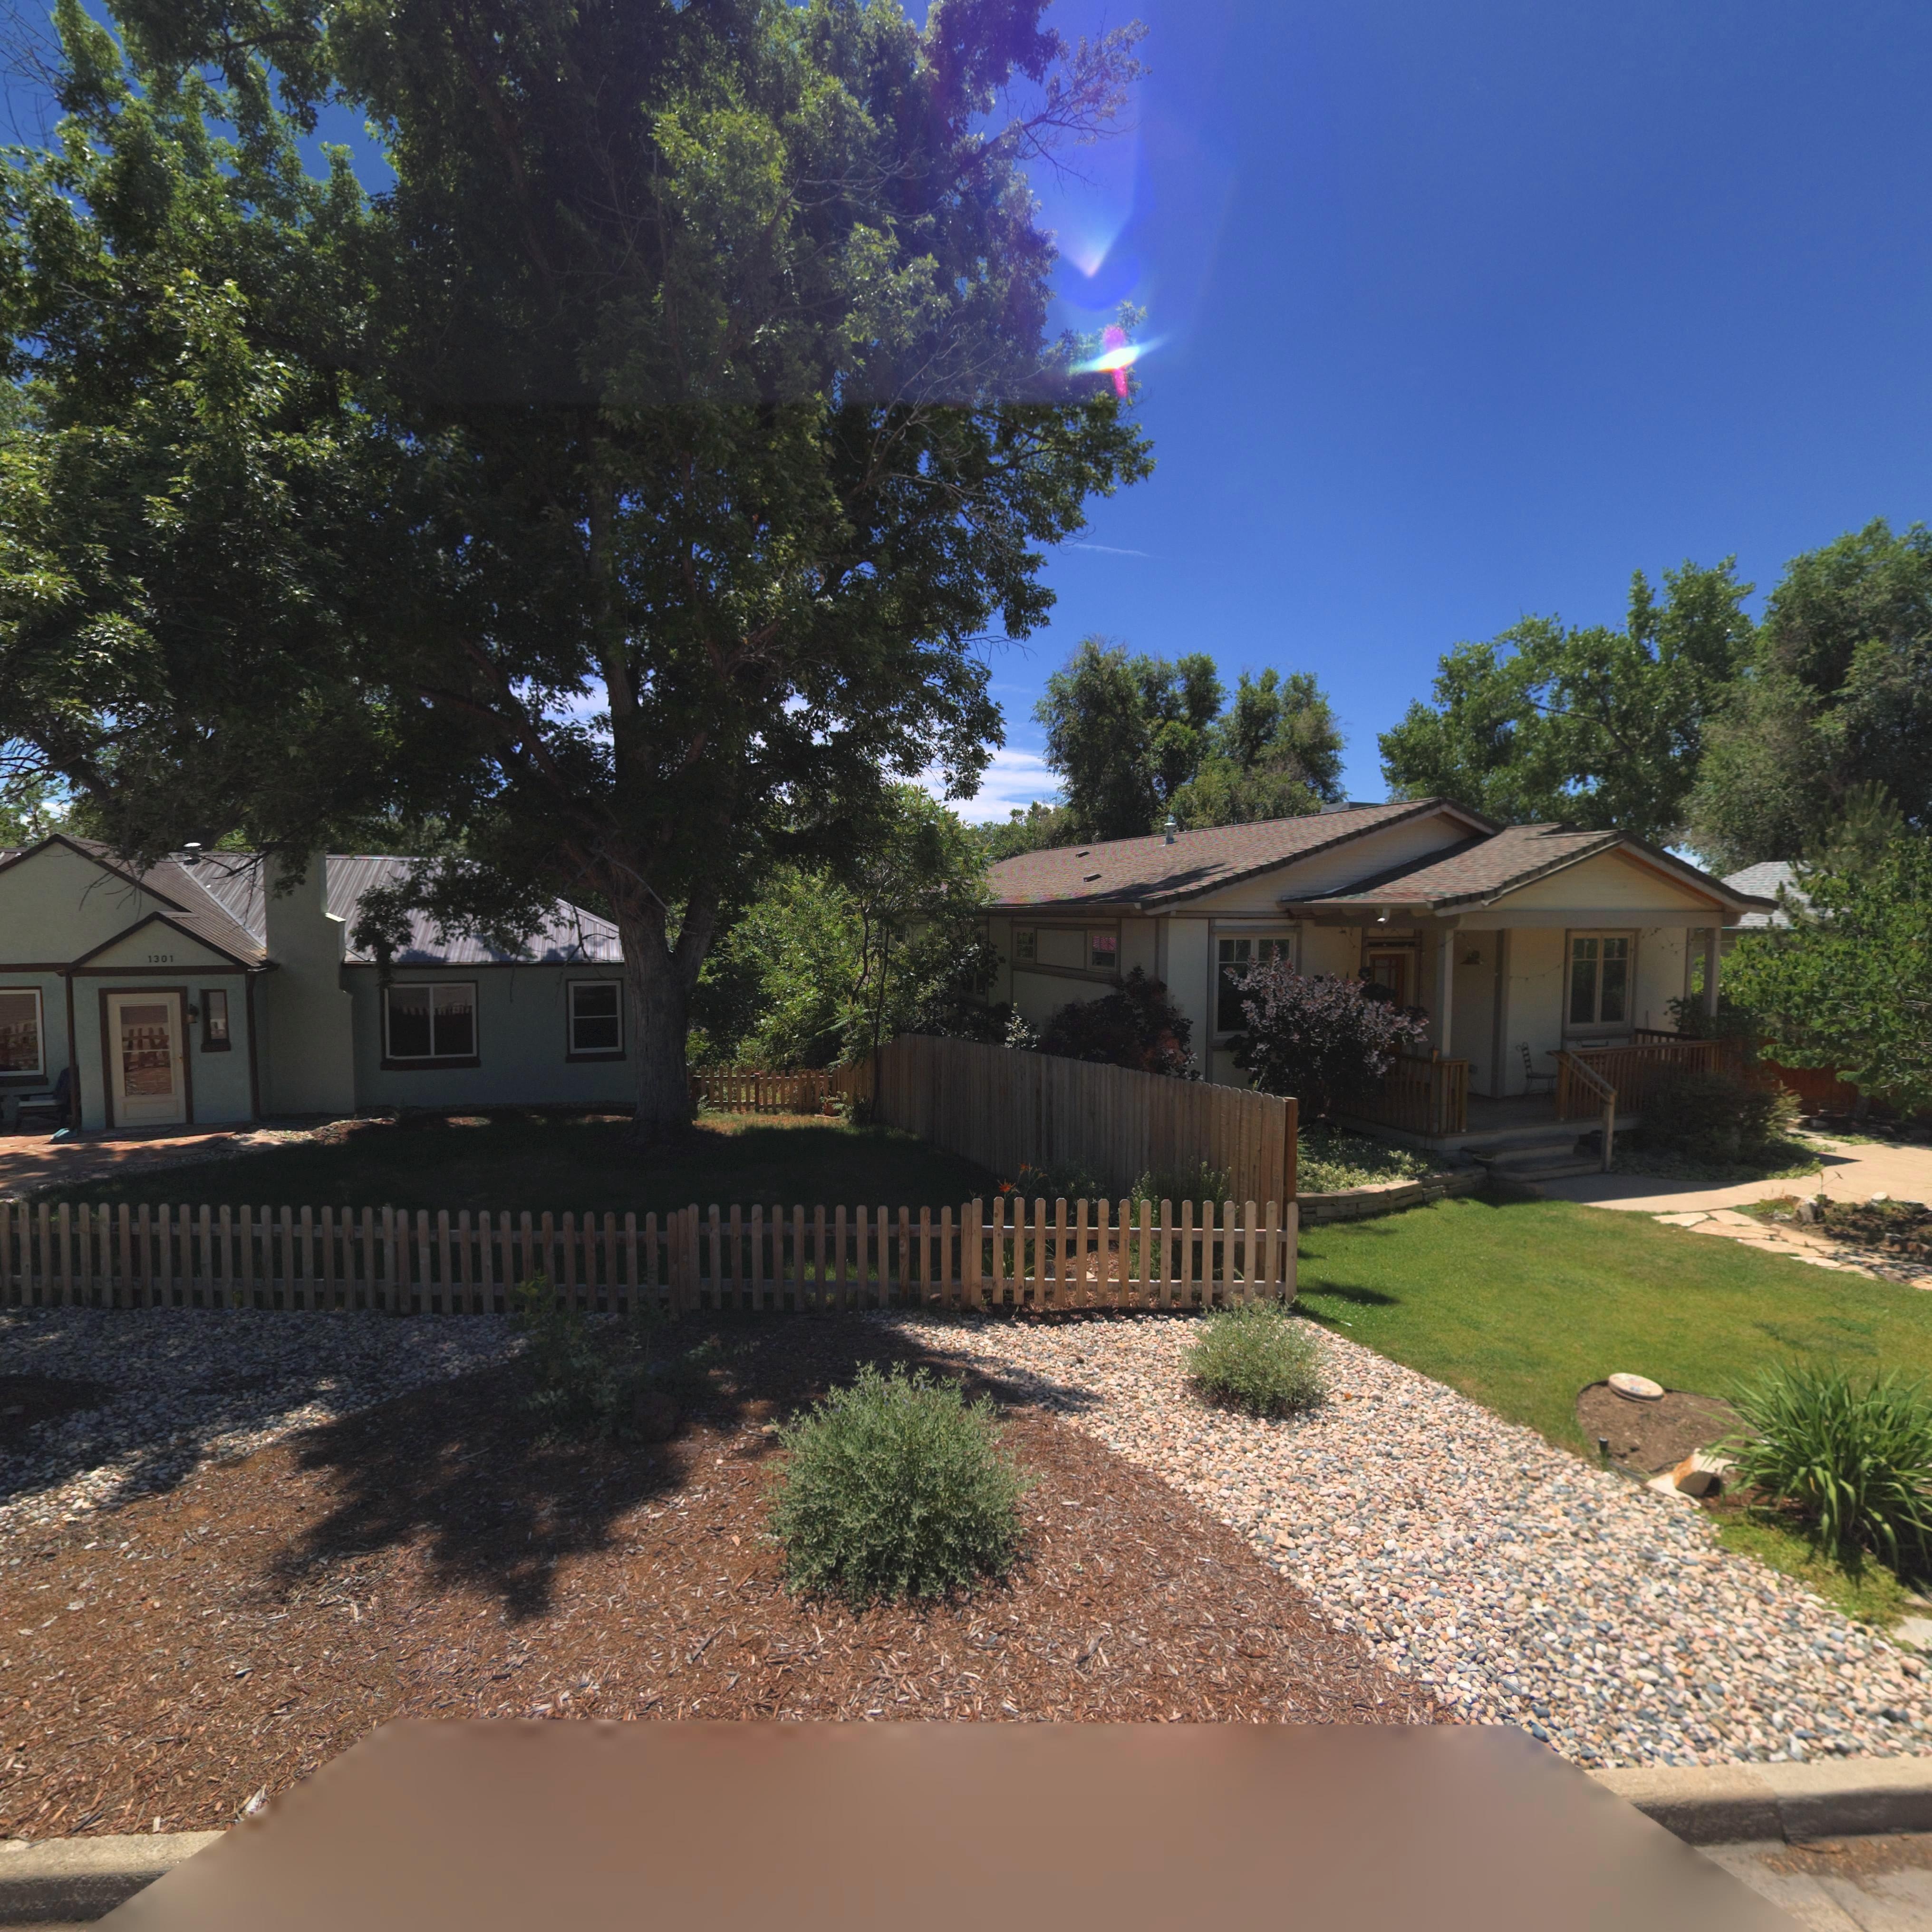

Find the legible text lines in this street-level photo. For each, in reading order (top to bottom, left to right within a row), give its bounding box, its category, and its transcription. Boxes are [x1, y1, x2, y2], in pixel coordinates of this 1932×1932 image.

[148, 955, 173, 963] StreetNumber: 1301